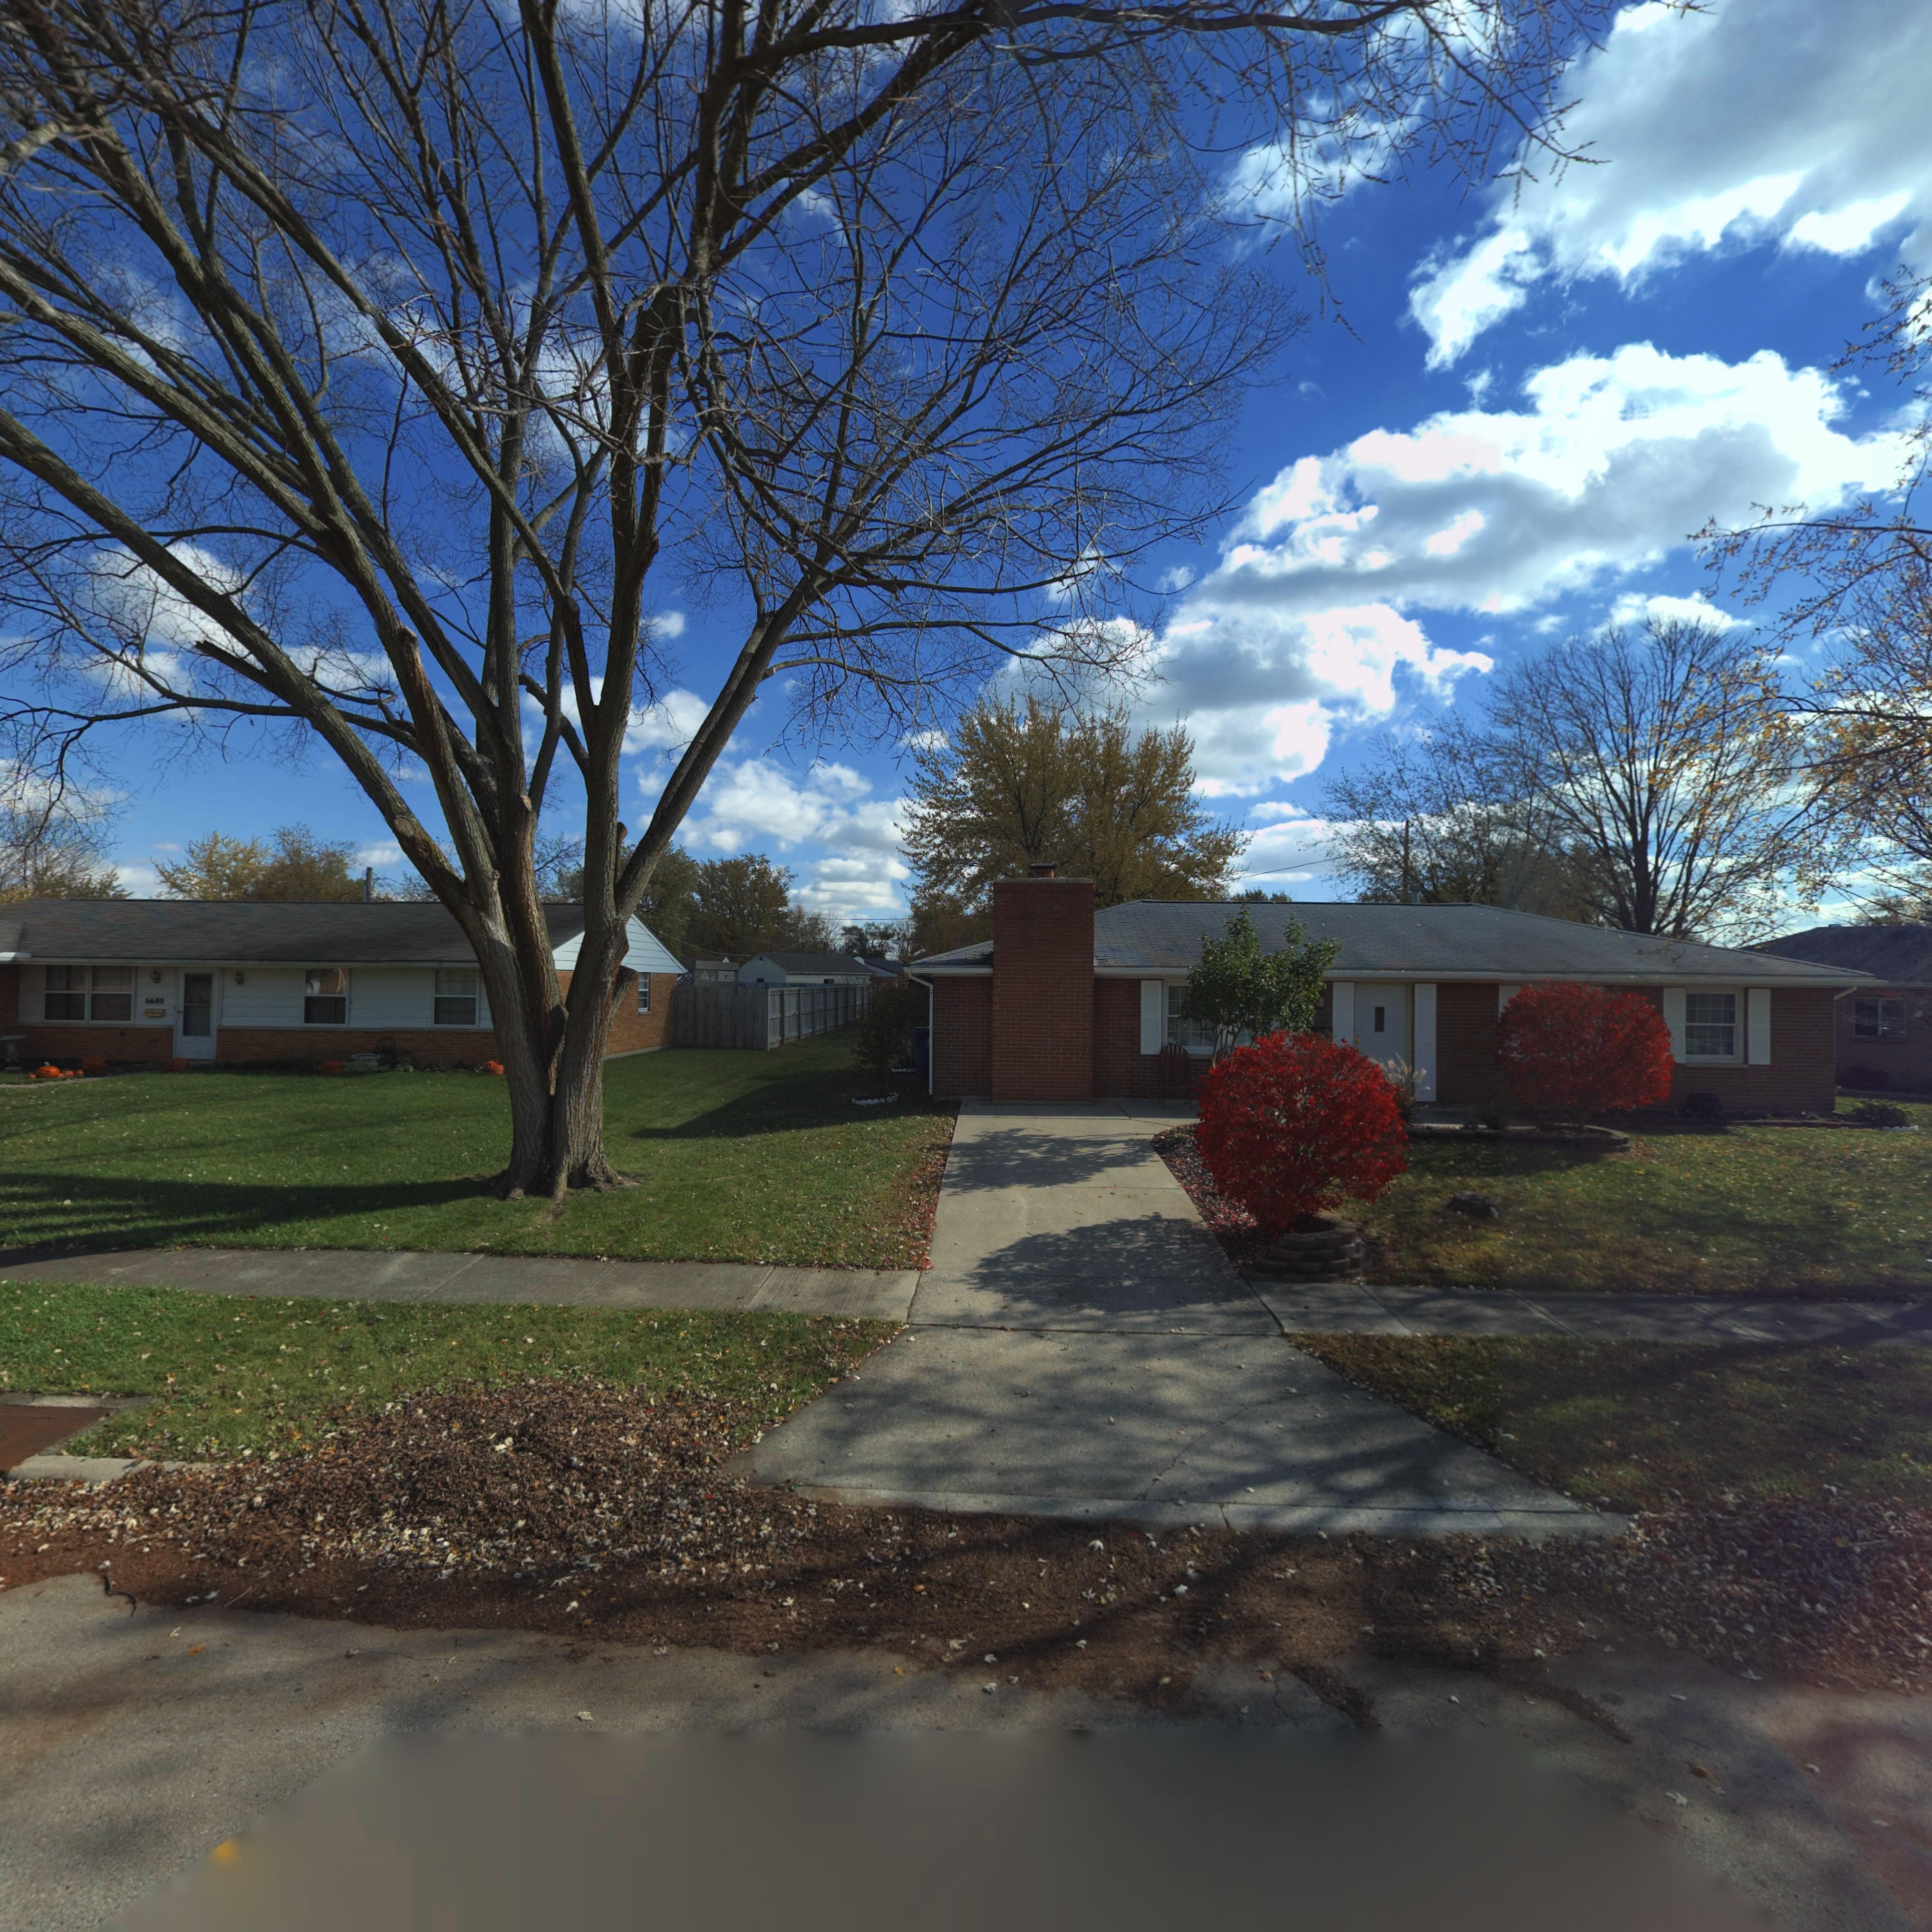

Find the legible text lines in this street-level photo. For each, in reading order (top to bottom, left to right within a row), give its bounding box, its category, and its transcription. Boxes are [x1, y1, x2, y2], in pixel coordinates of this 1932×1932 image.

[145, 996, 164, 1005] StreetNumber: 6680